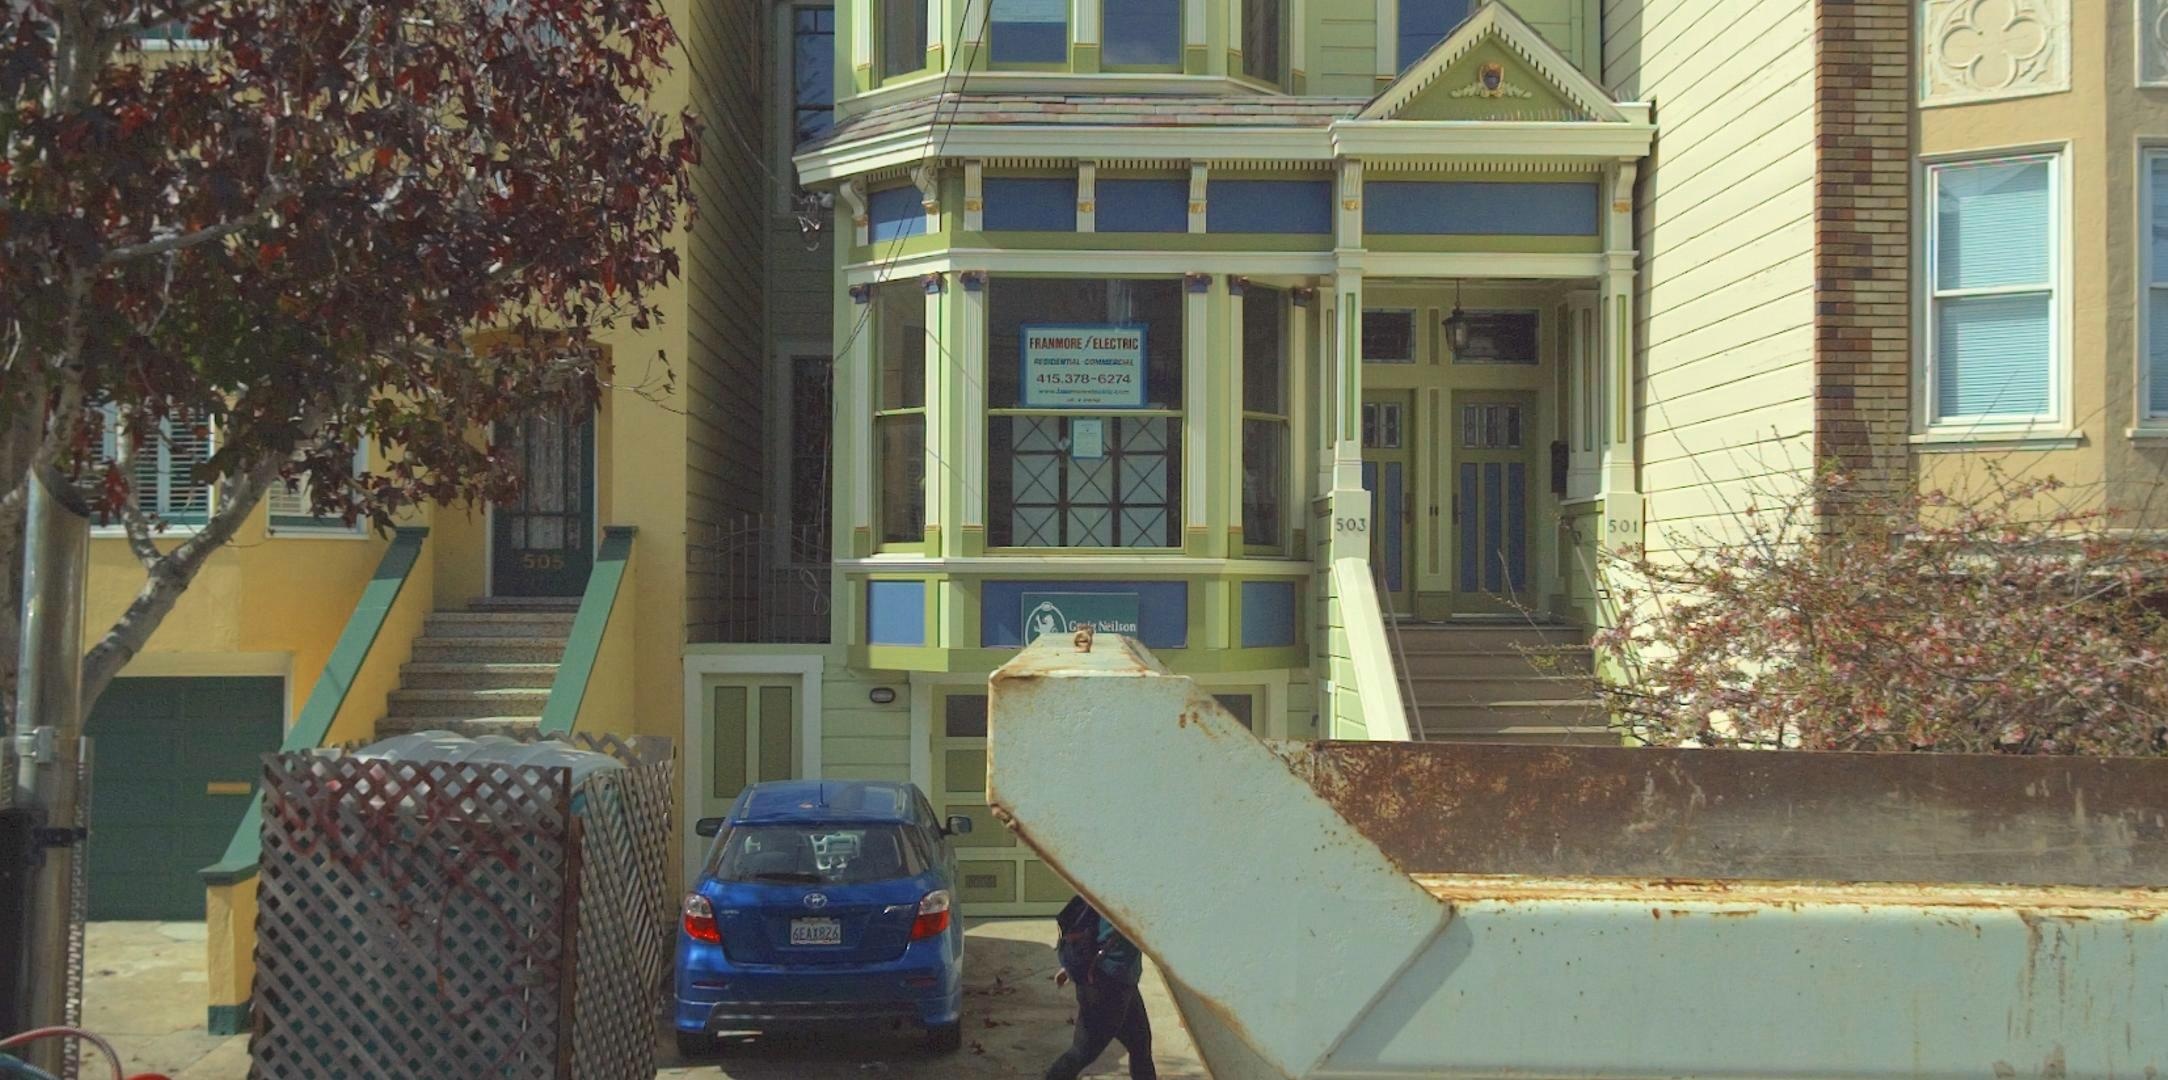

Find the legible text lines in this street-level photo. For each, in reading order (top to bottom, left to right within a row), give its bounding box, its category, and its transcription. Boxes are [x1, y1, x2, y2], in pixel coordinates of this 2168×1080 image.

[1028, 334, 1141, 352] None: FRANMORE * ELECTRIC
[1033, 369, 1134, 386] None: 415.378-6274
[1335, 516, 1368, 534] StreetNumber: 503
[1607, 517, 1639, 535] StreetNumber: 501
[521, 552, 566, 571] StreetNumber: 505
[1096, 618, 1138, 634] None: Neilson
[790, 923, 841, 944] None: 6EA*826